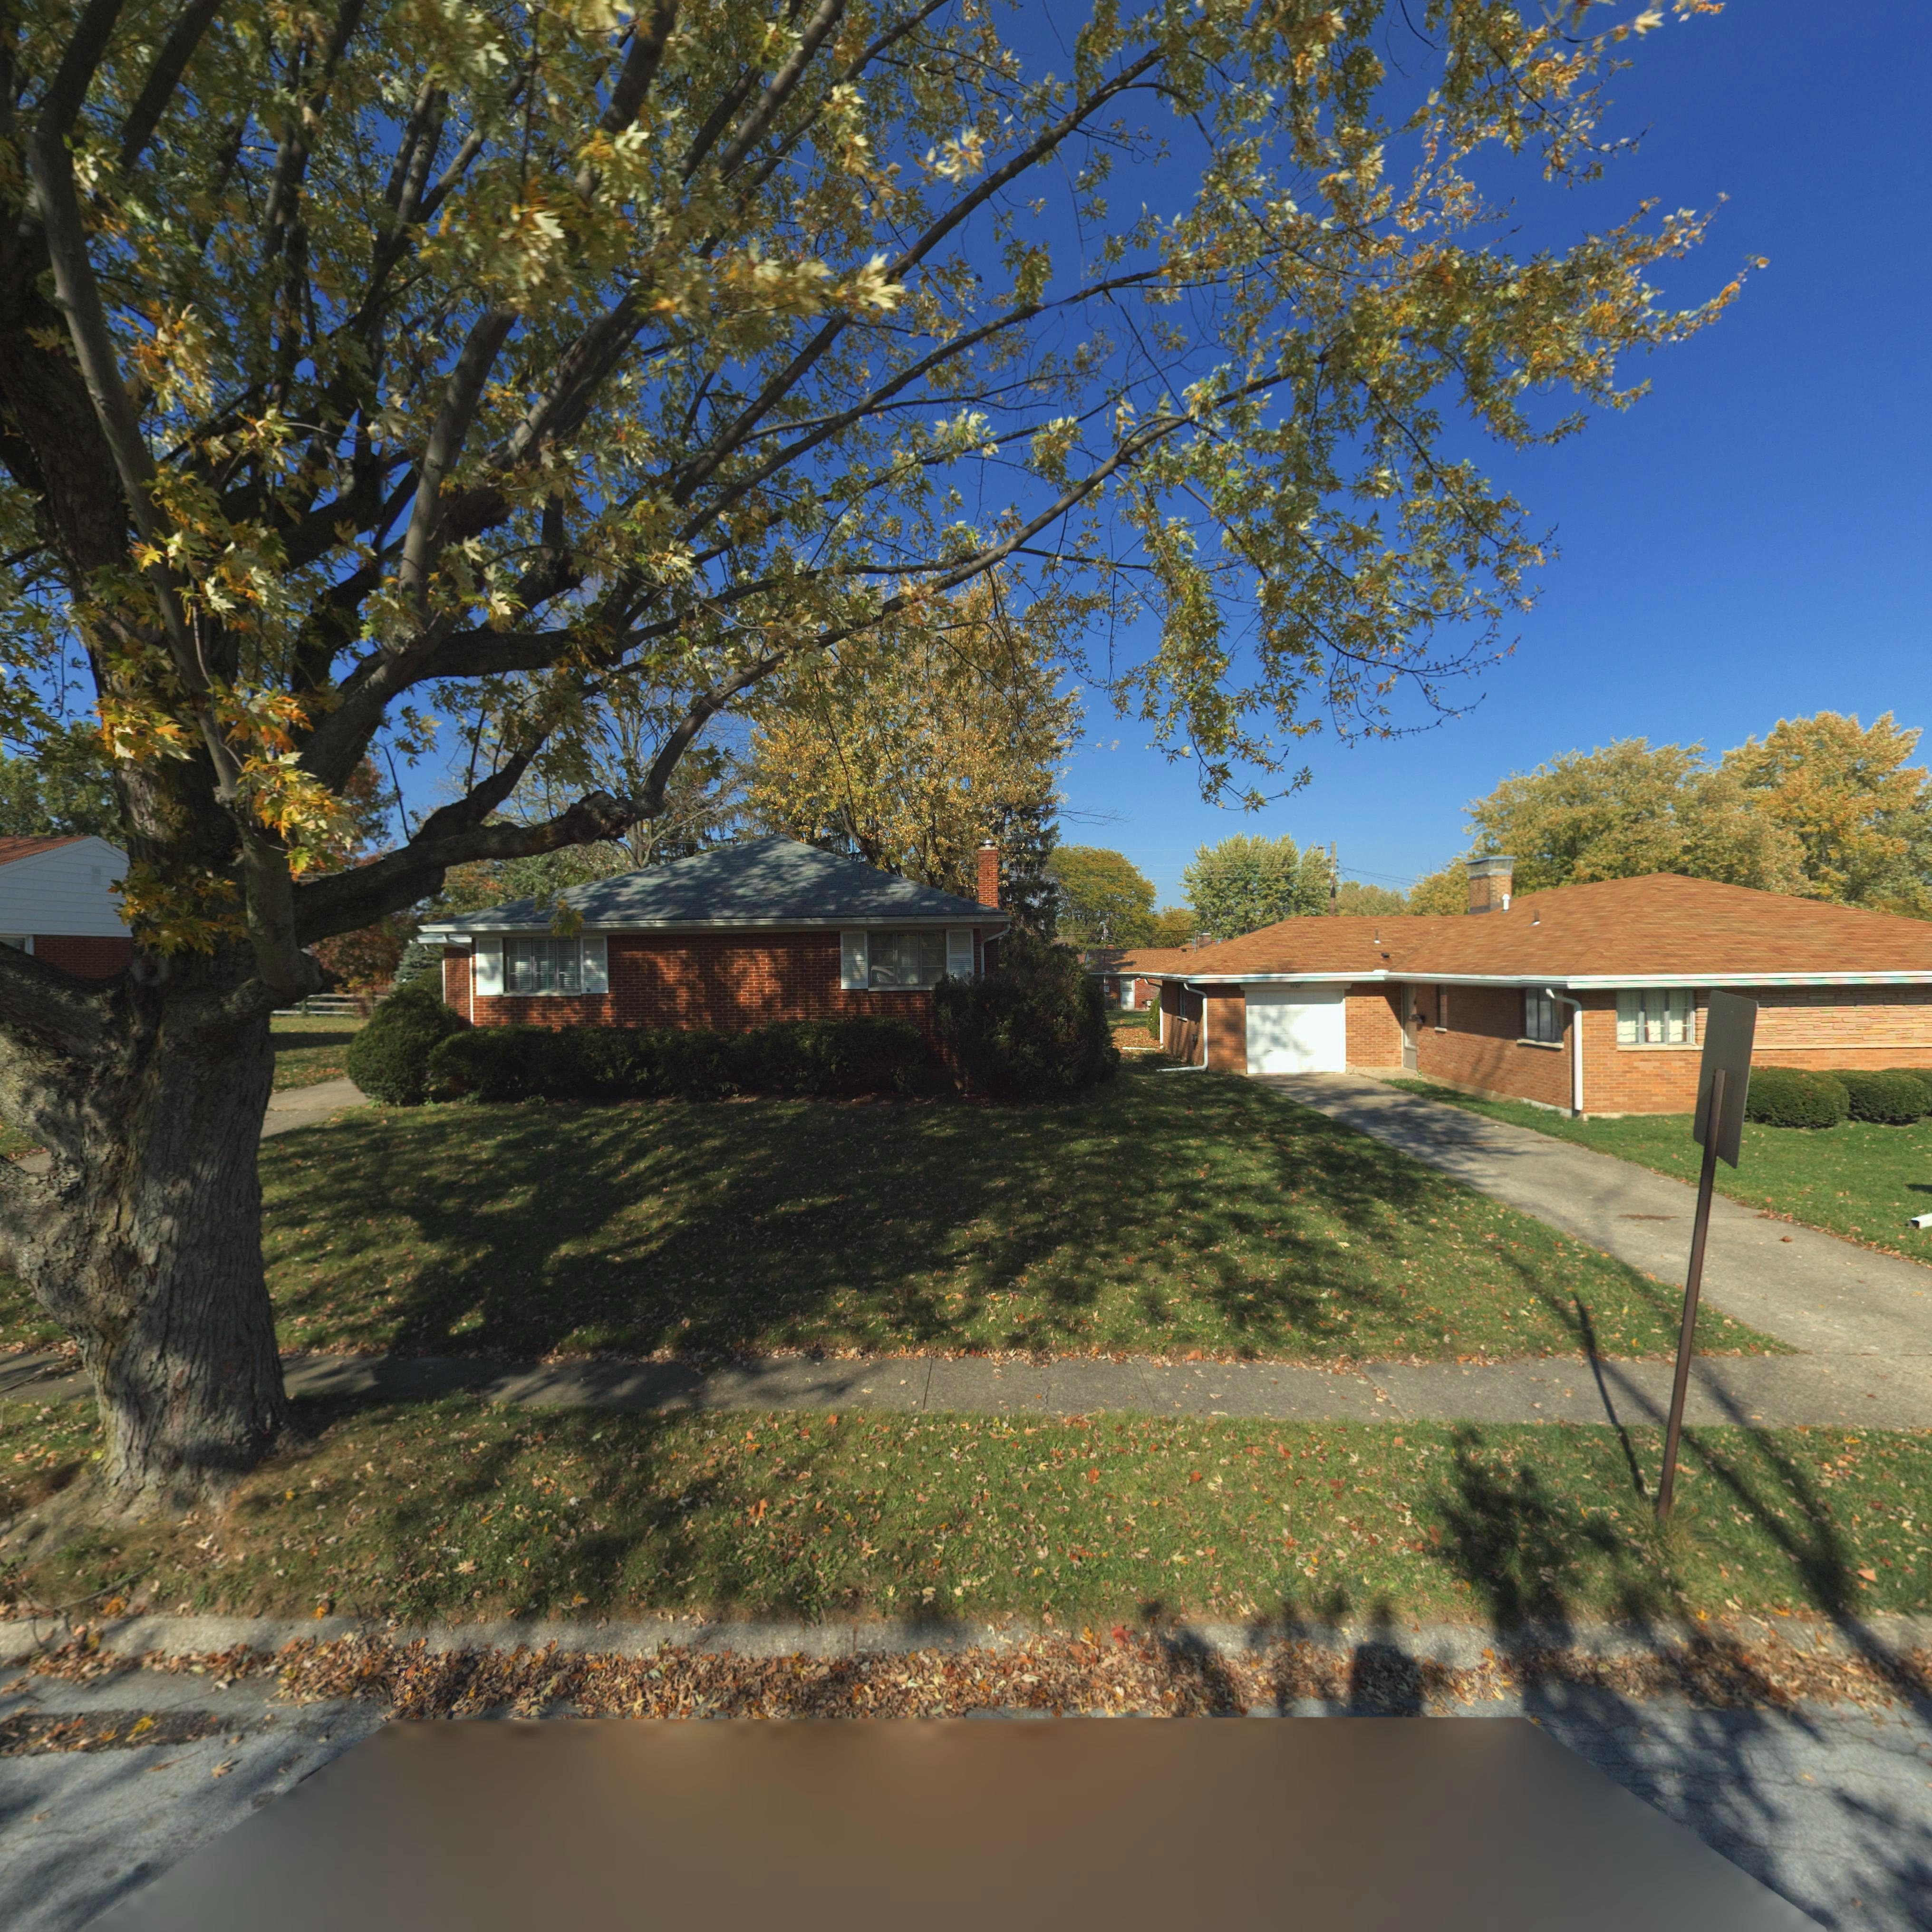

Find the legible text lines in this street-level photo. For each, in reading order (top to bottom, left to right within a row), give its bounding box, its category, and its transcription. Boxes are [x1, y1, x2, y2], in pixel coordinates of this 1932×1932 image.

[1289, 984, 1302, 990] StreetNumber: 11**